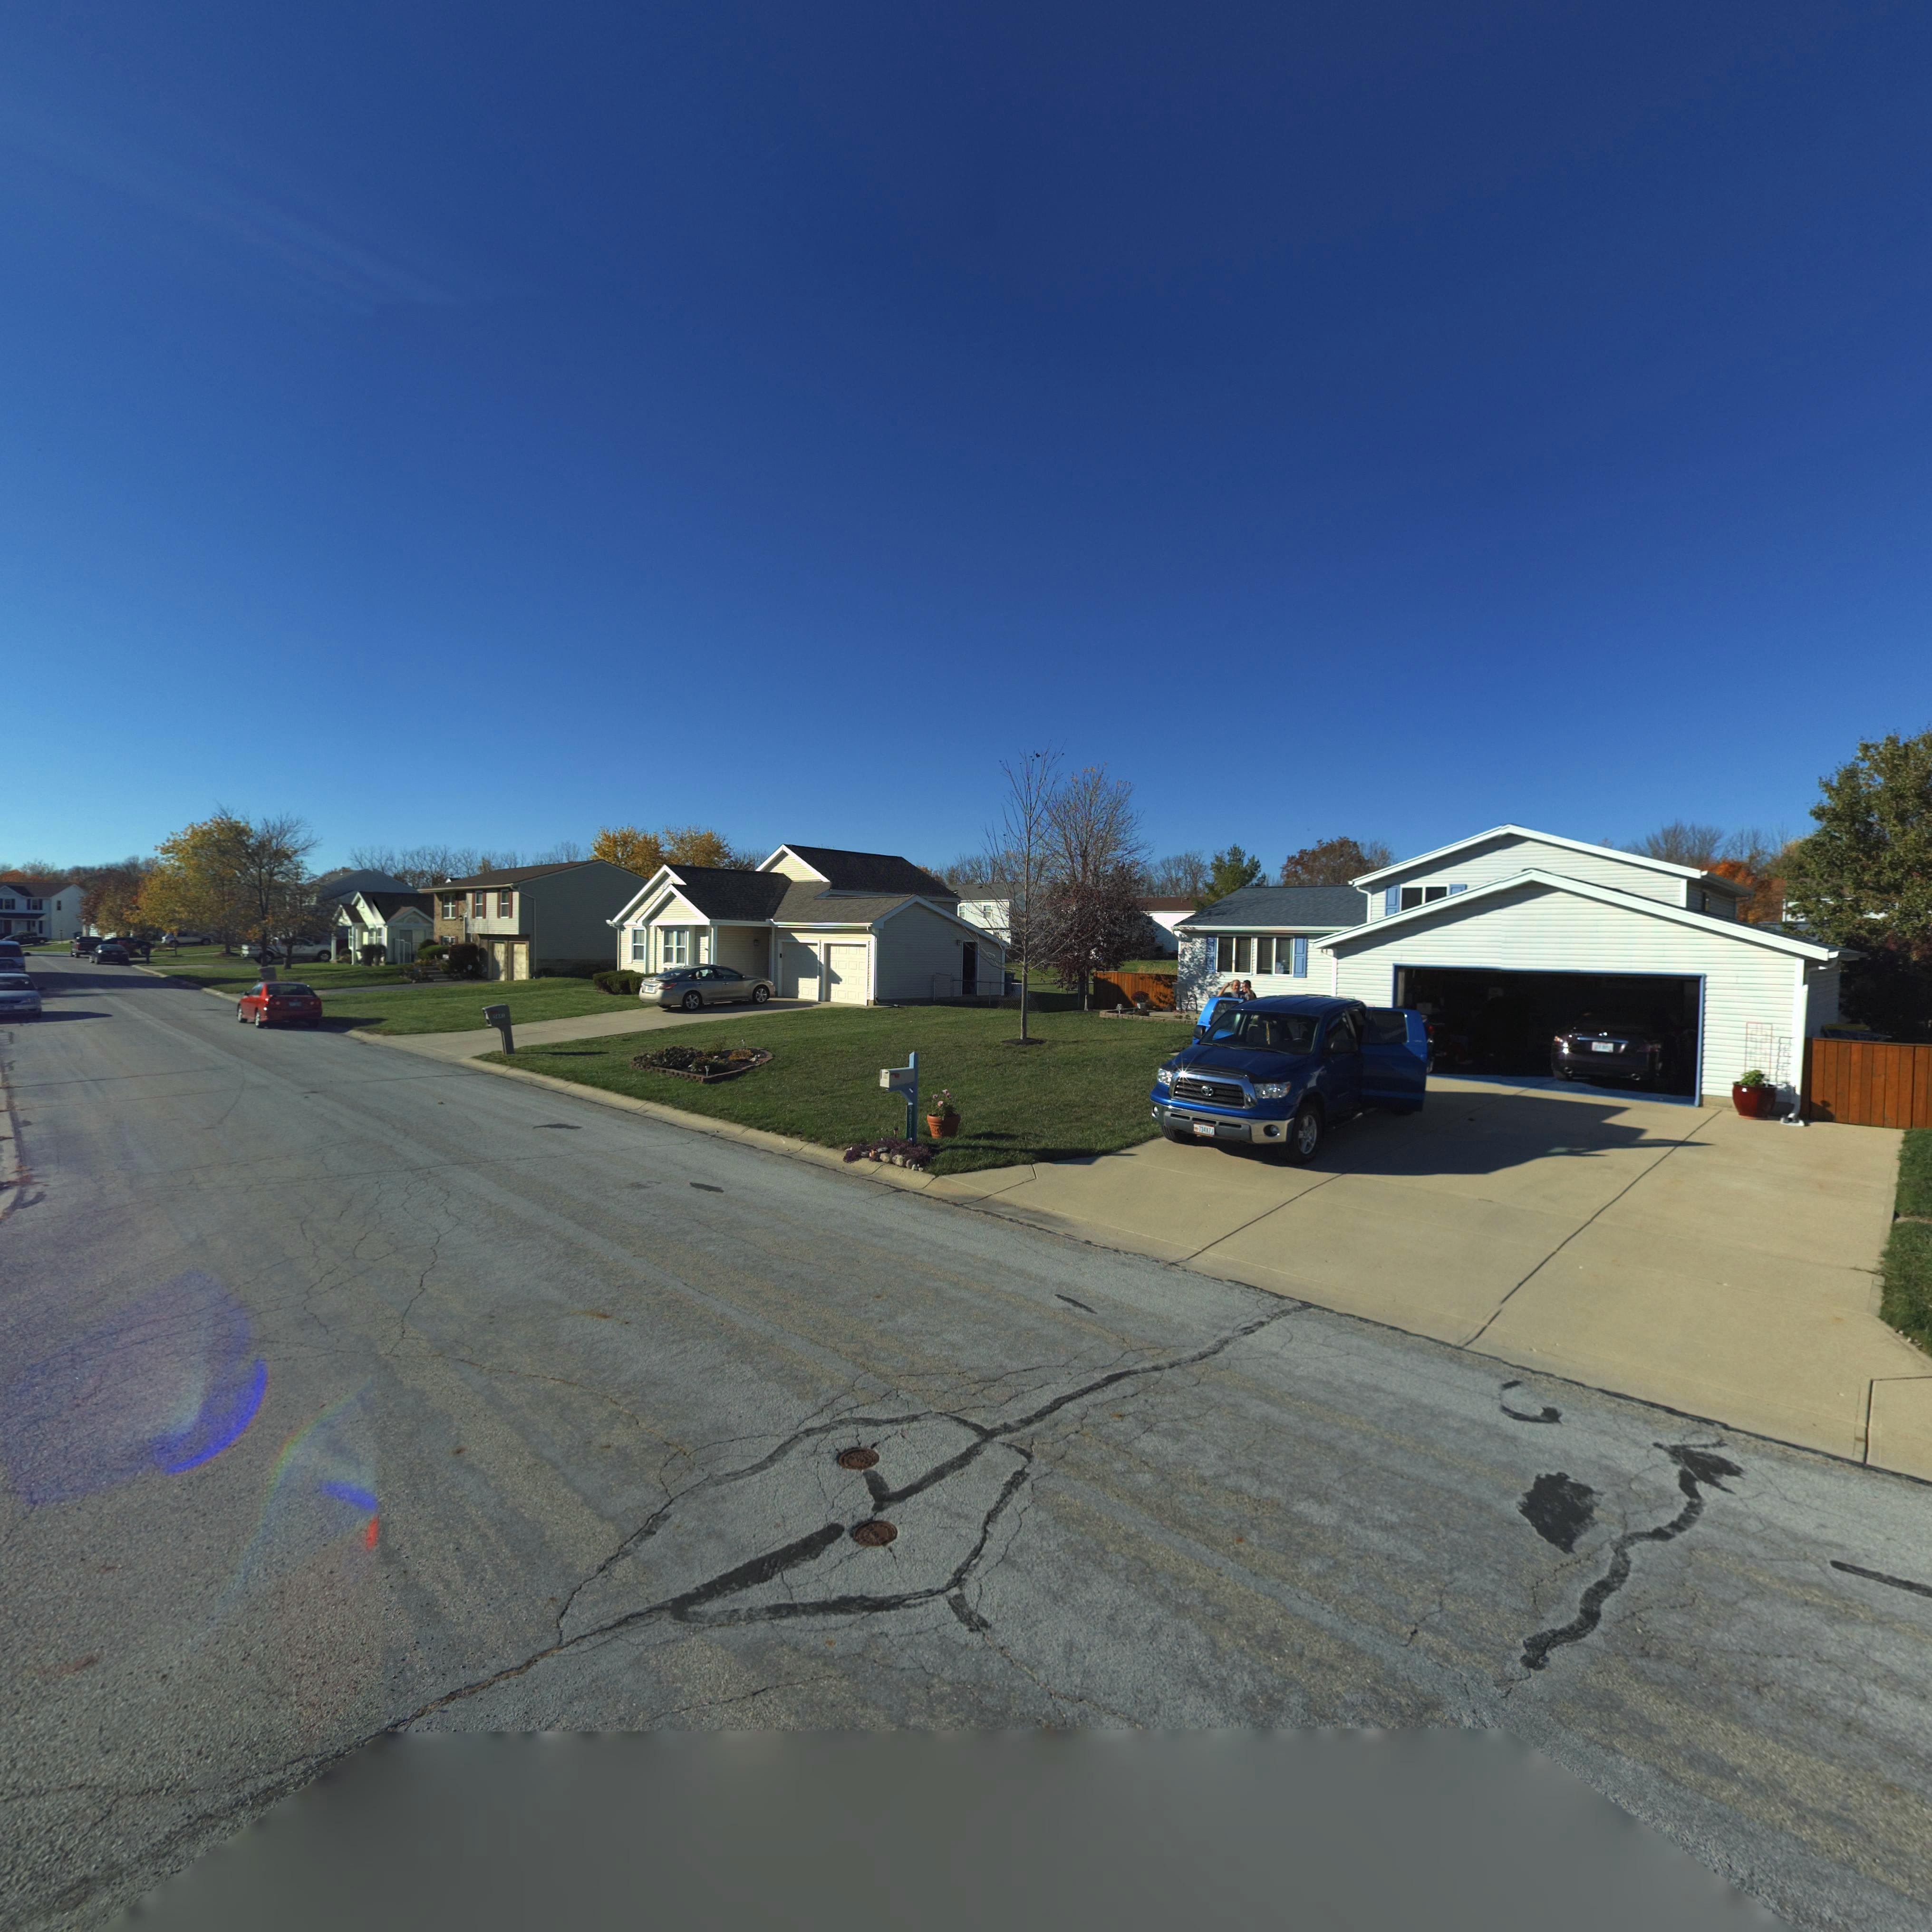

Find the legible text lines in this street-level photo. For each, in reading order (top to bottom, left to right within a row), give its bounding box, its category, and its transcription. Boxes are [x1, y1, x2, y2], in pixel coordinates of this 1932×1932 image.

[908, 1105, 913, 1139] StreetNumber: 5831